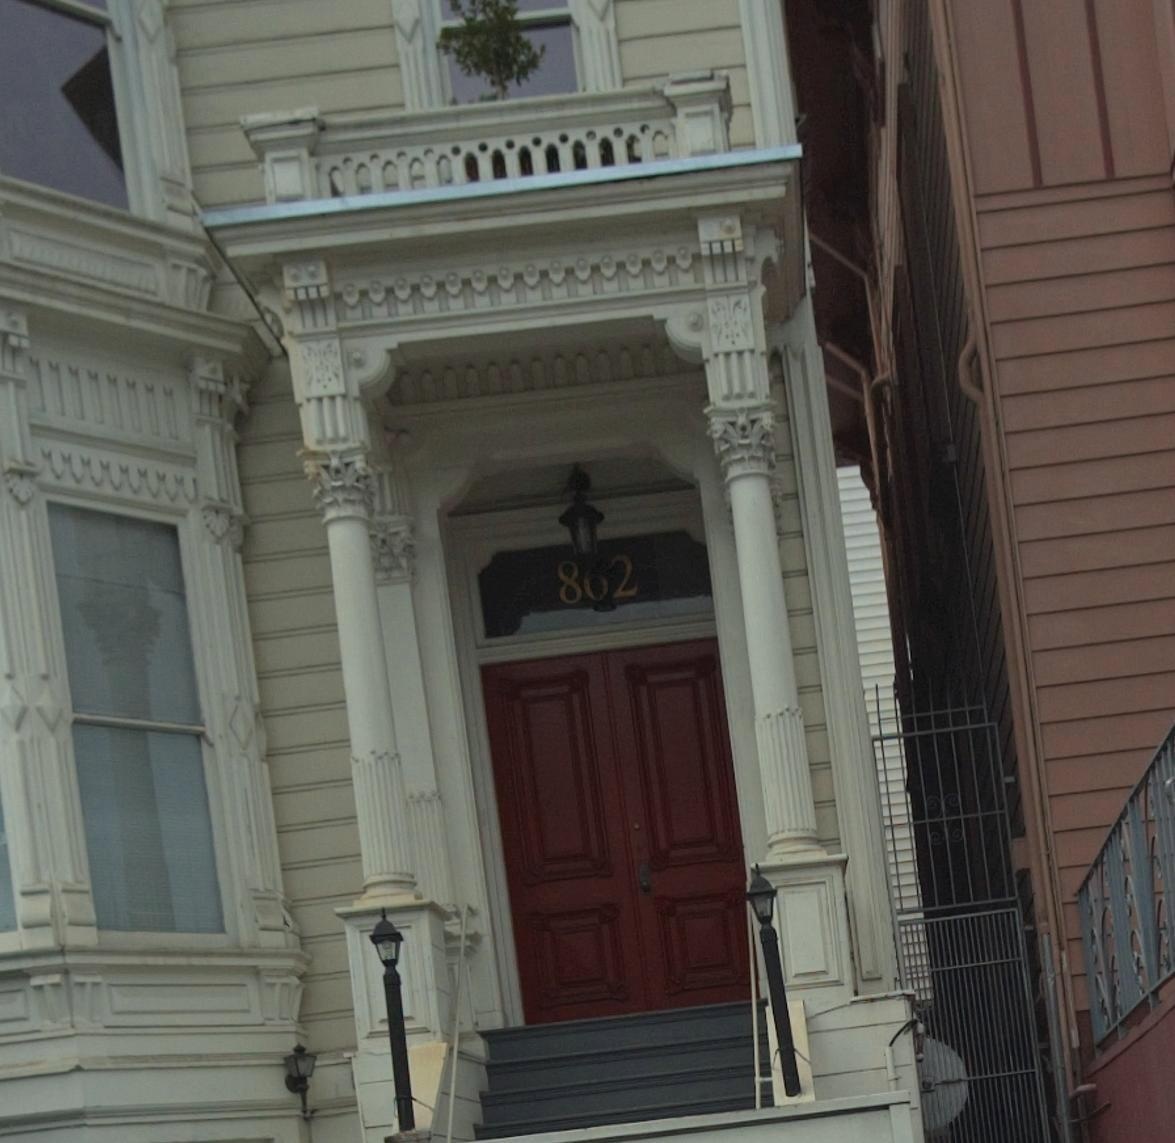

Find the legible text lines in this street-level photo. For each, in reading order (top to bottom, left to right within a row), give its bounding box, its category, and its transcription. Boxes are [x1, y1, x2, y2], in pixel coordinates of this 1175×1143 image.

[555, 551, 644, 607] StreetNumber: 862